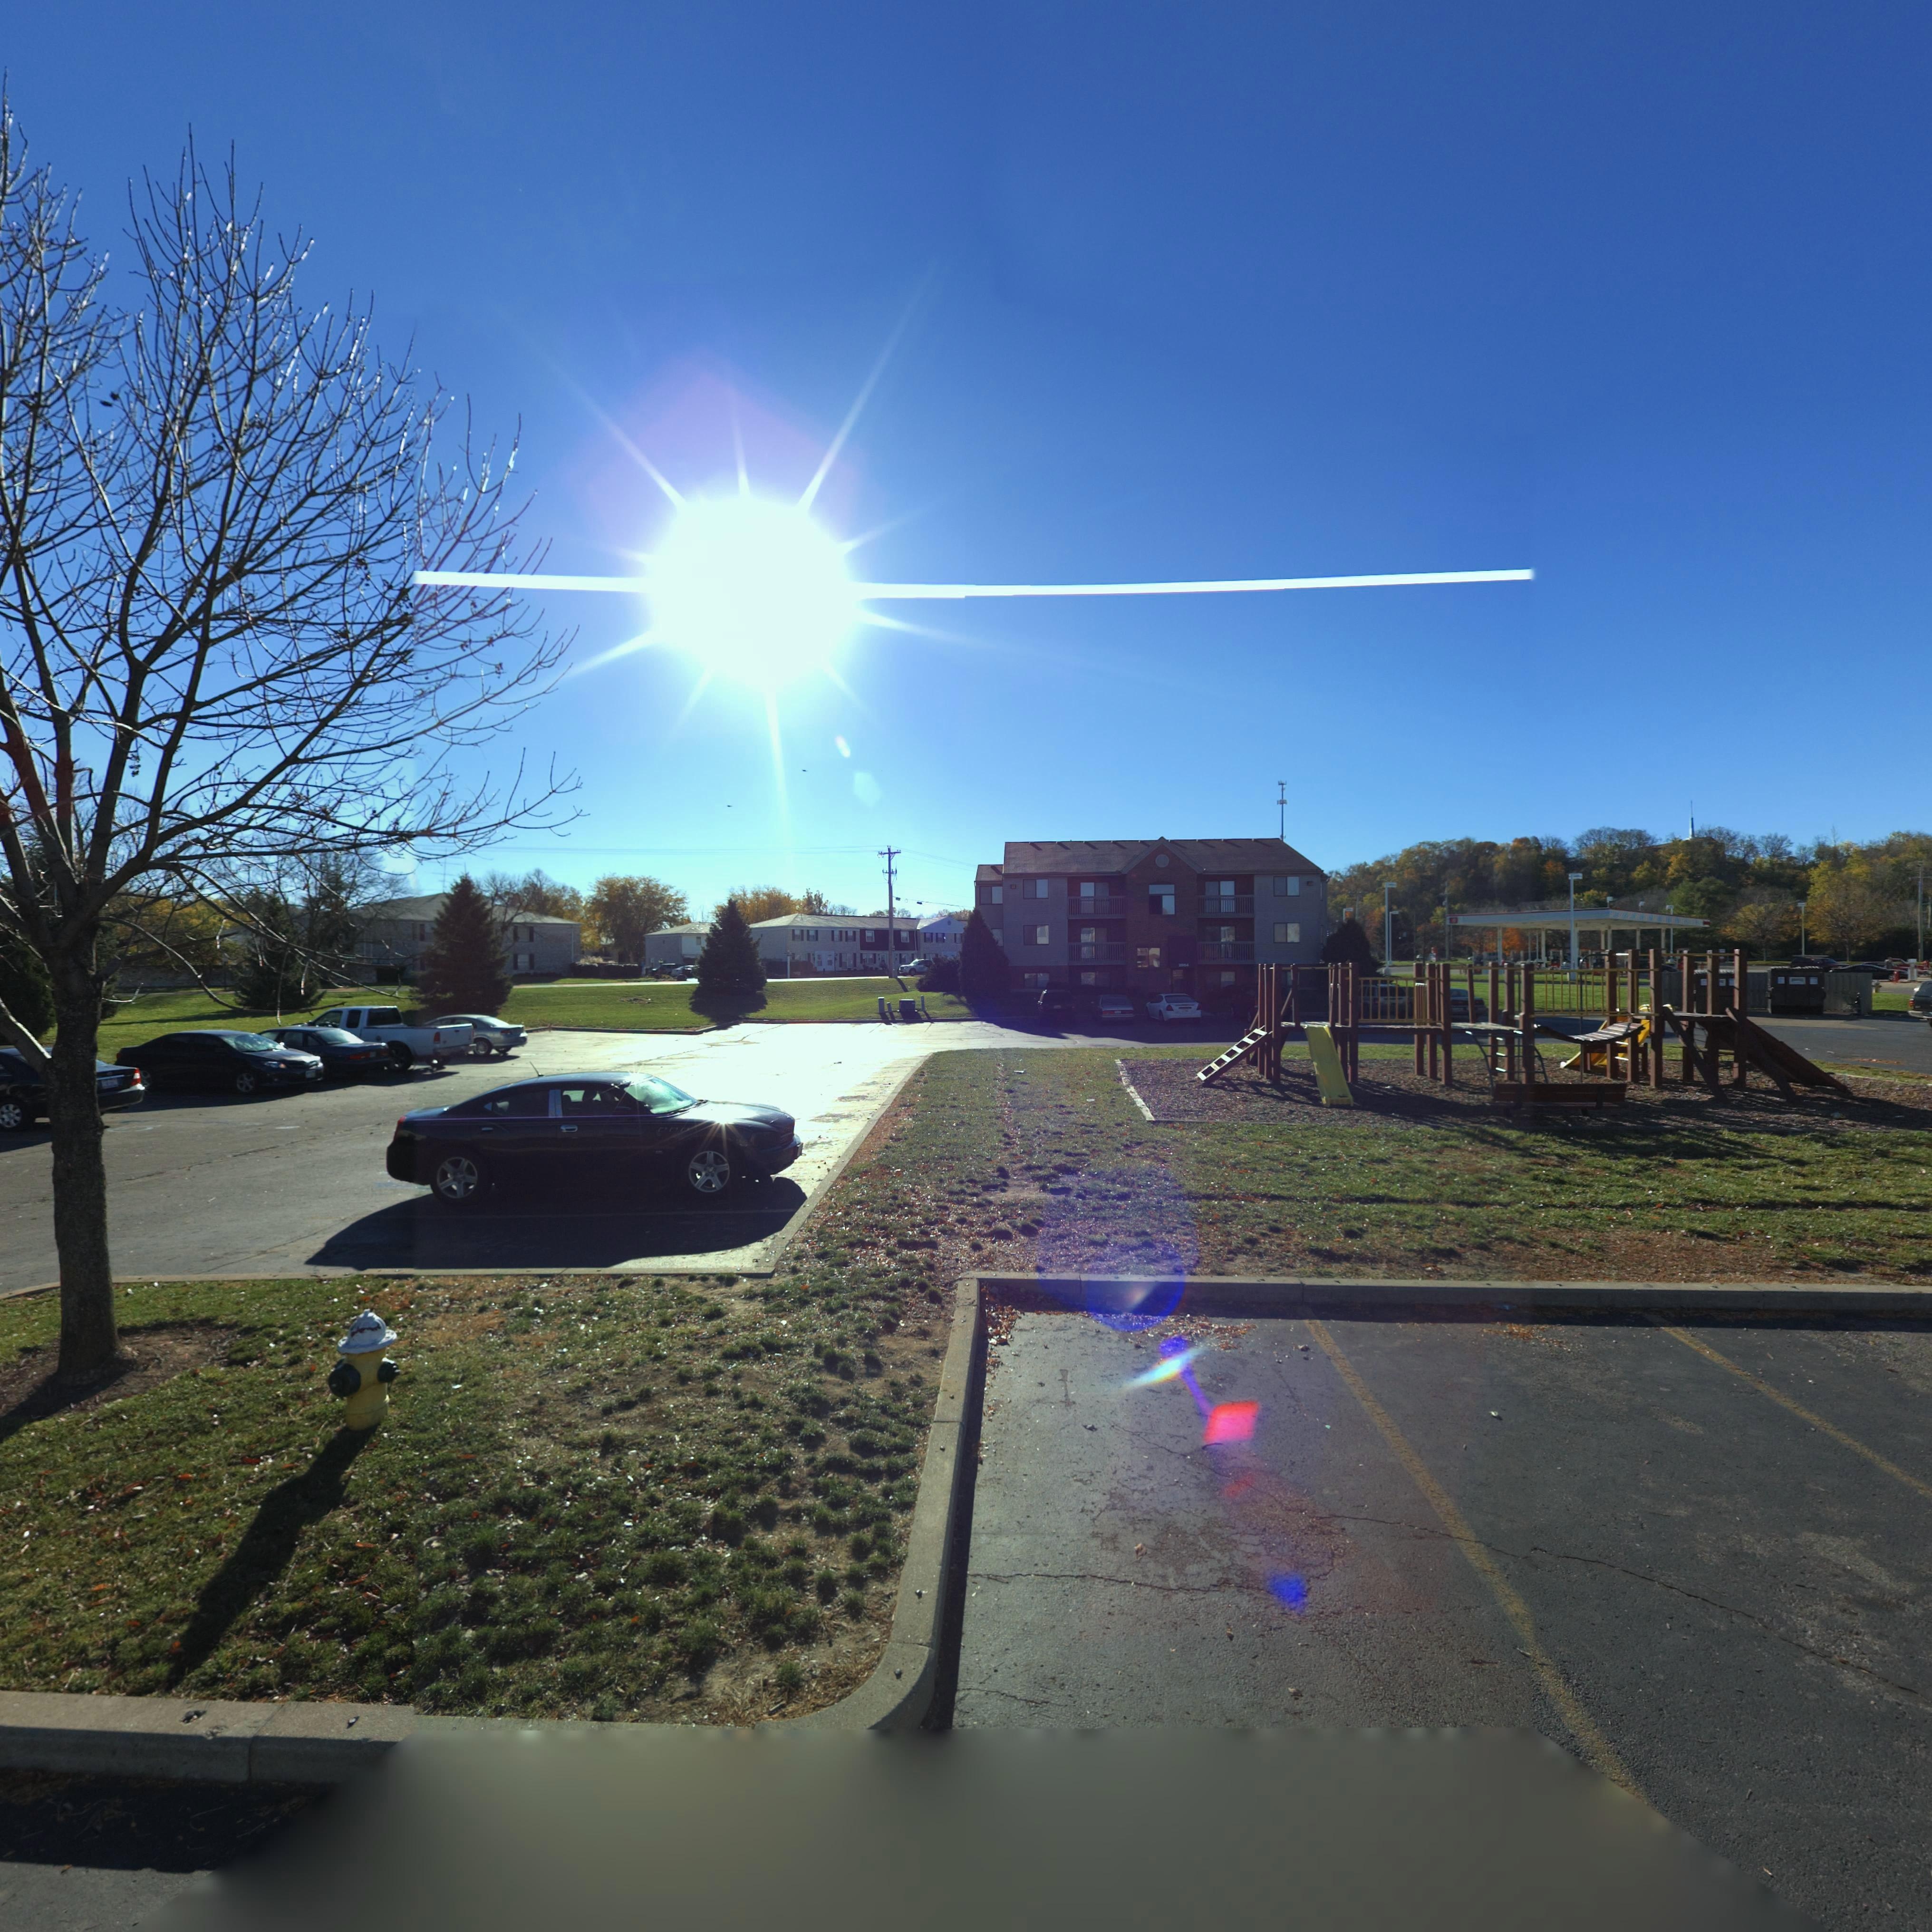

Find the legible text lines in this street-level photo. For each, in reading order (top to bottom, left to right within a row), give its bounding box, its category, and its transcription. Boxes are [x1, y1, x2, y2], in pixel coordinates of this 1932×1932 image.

[1178, 963, 1189, 967] StreetNumber: 2**4